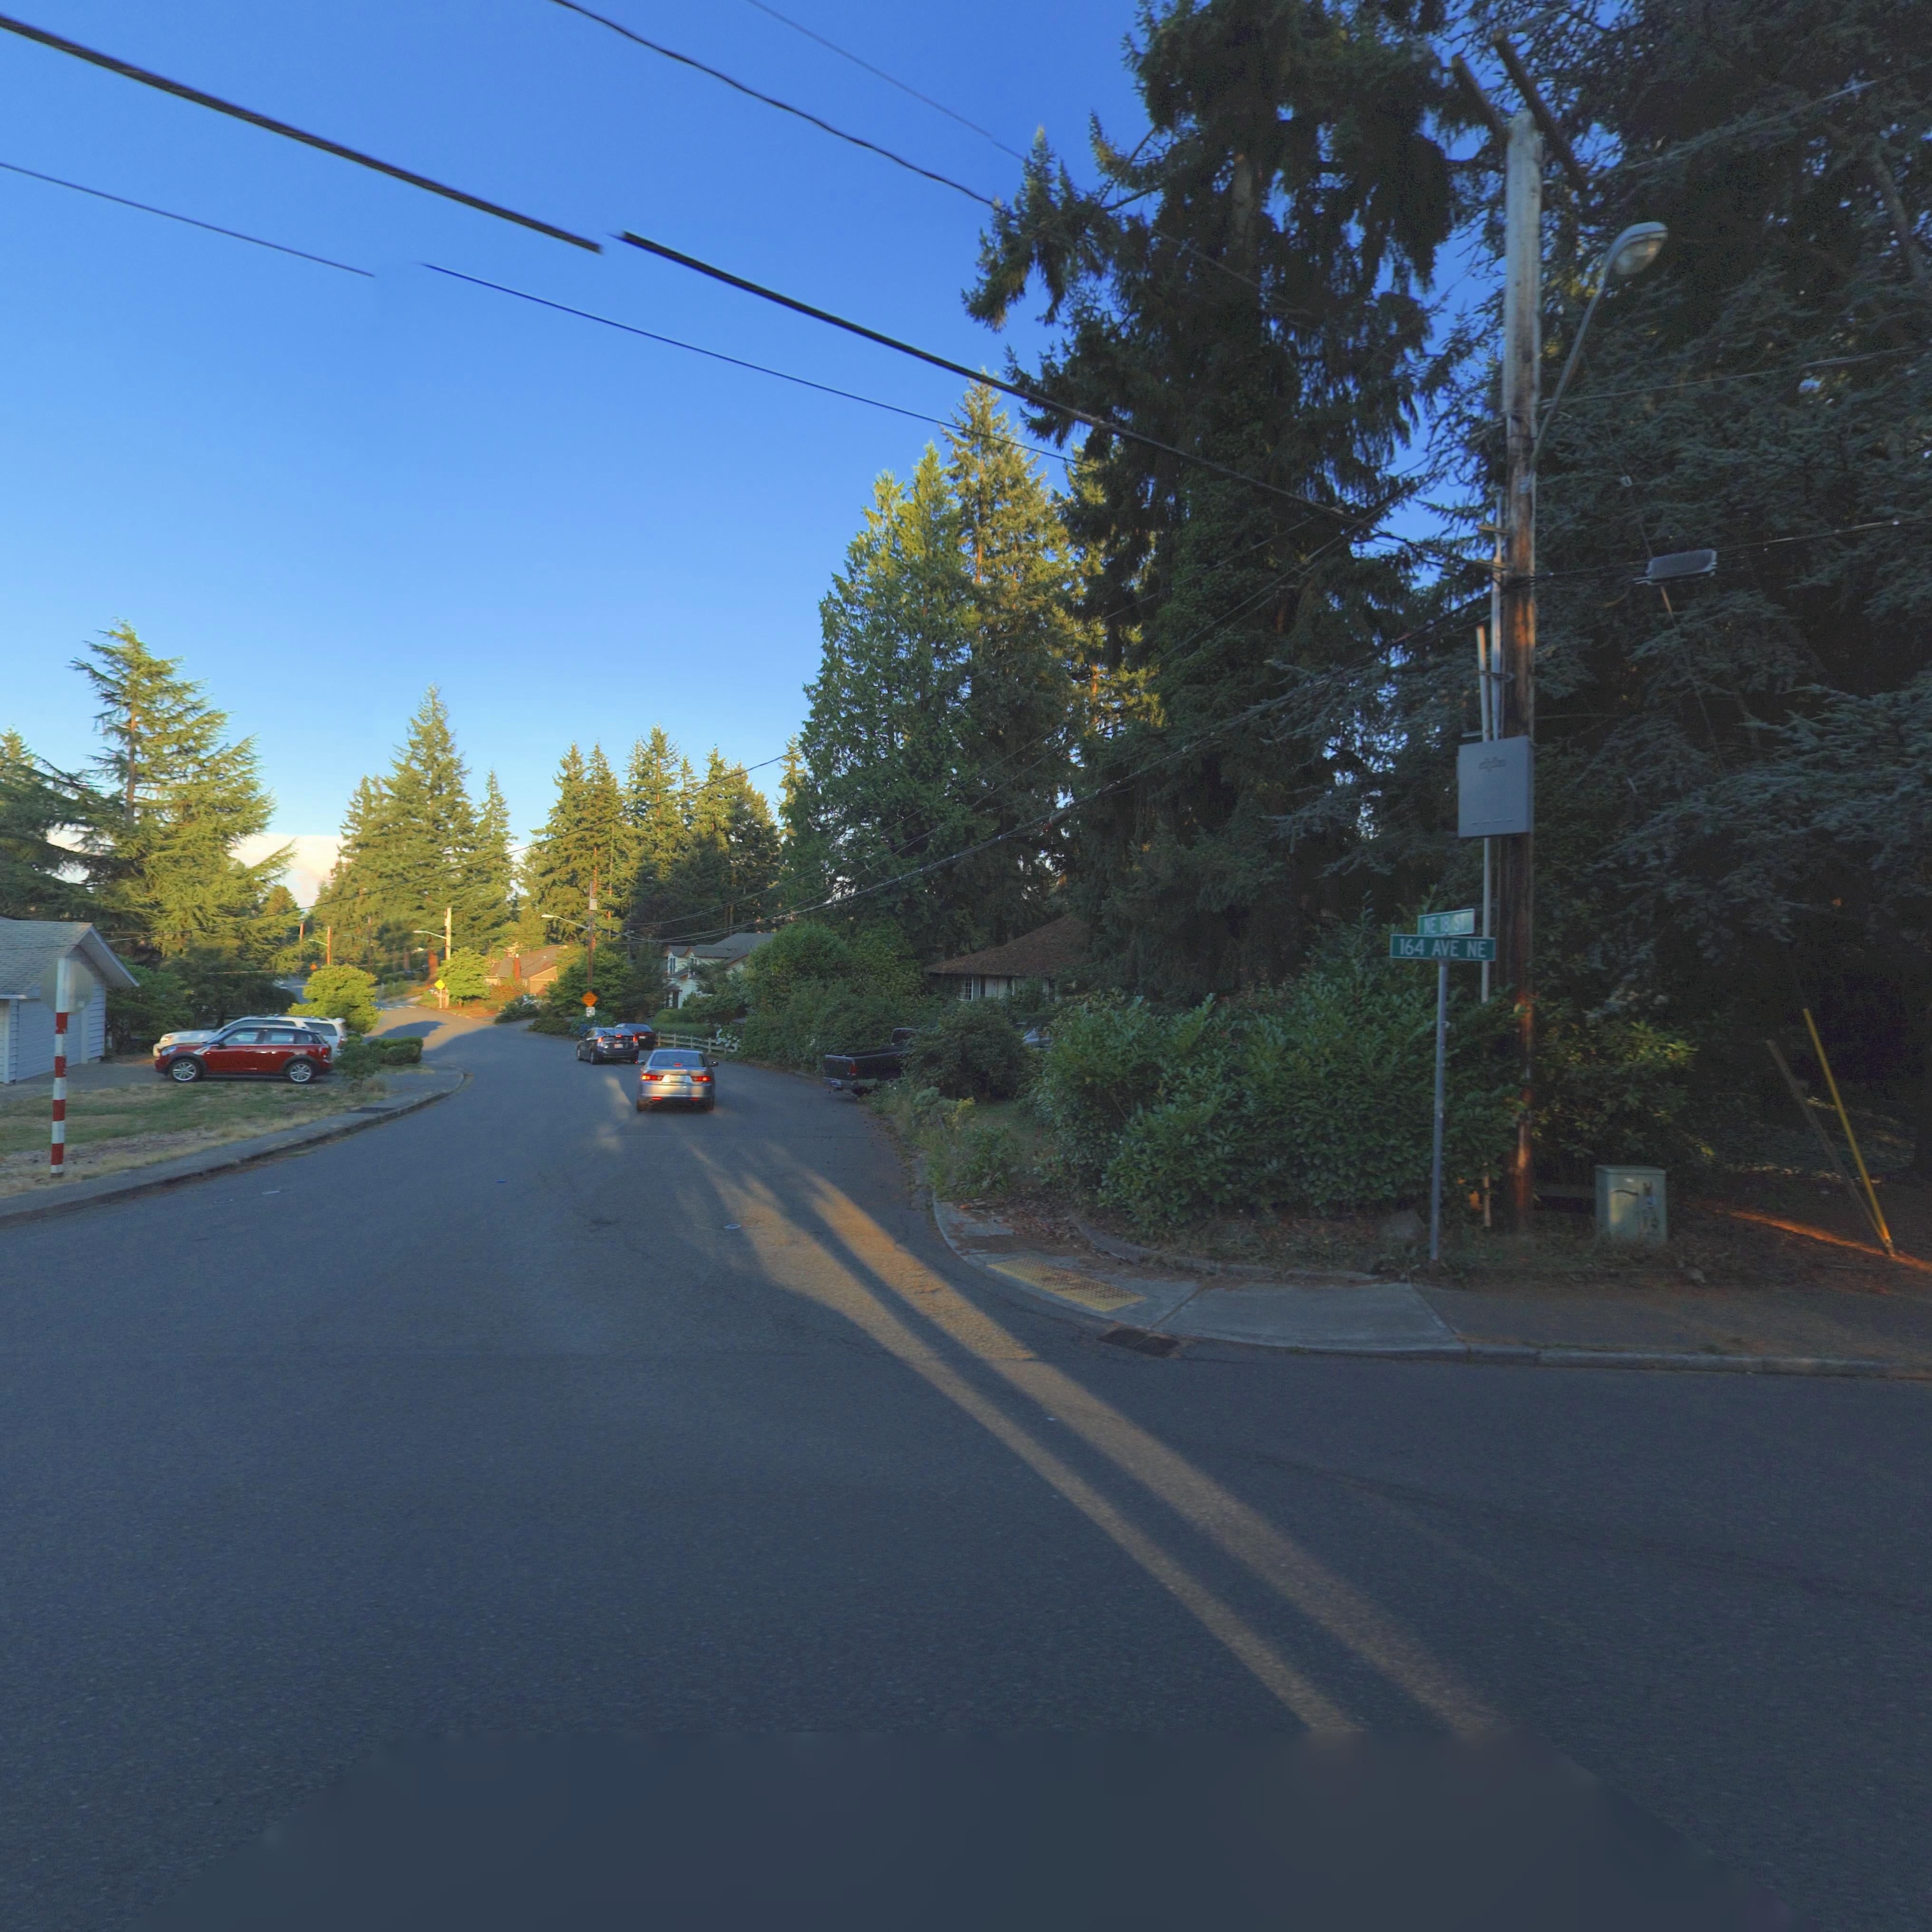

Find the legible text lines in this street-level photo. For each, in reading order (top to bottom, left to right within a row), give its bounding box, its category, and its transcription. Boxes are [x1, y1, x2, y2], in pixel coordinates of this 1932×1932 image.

[1422, 913, 1471, 934] StreetName: NE 18 ST
[1399, 938, 1488, 957] StreetName: 164 AVE NE